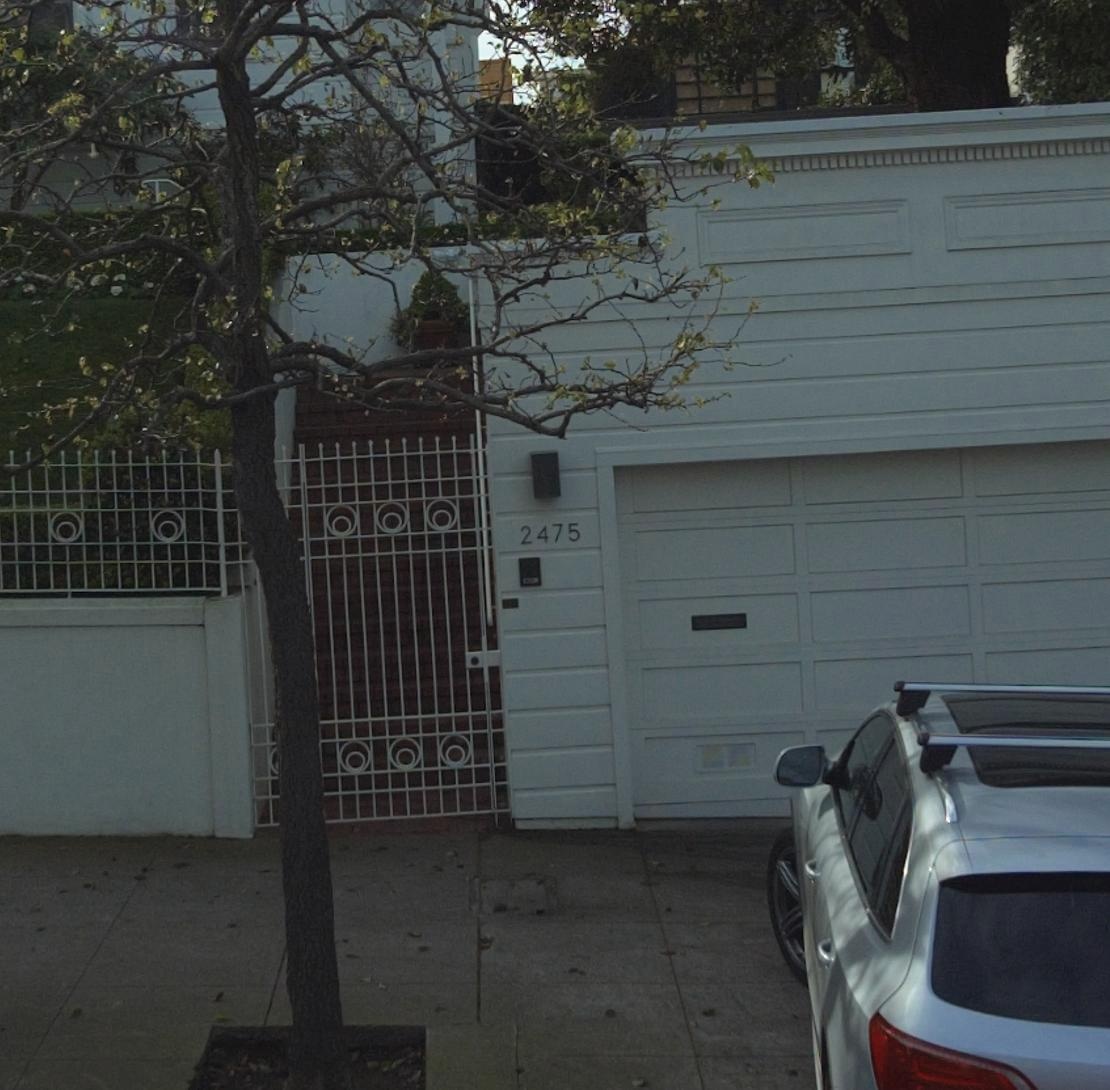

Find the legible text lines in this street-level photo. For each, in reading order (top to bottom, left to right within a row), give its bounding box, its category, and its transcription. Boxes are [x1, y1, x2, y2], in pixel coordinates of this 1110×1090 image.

[517, 520, 583, 548] StreetNumber: 2475